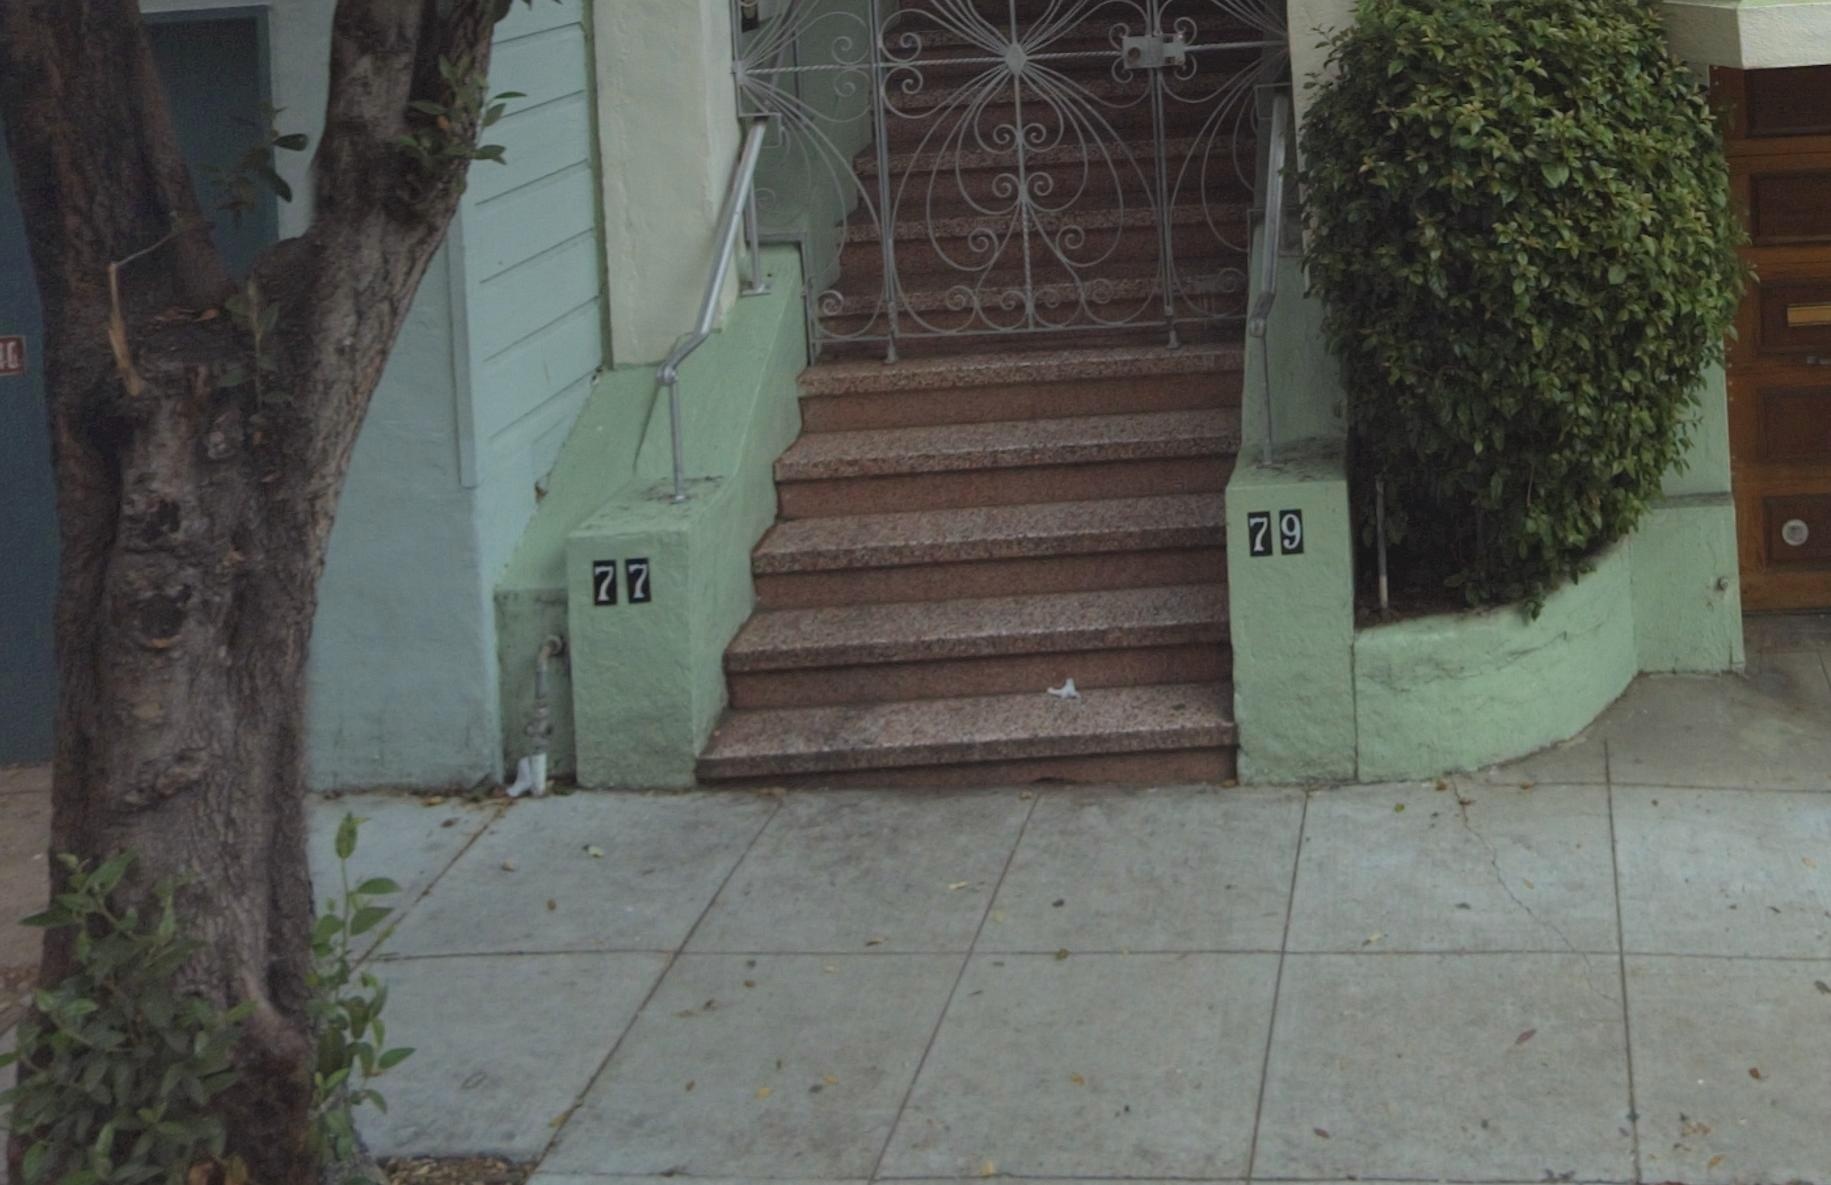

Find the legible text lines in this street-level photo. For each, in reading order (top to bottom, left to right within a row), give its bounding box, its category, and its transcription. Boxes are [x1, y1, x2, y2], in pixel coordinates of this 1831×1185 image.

[1247, 511, 1303, 554] StreetNumber: 79
[590, 560, 652, 604] StreetNumber: 77